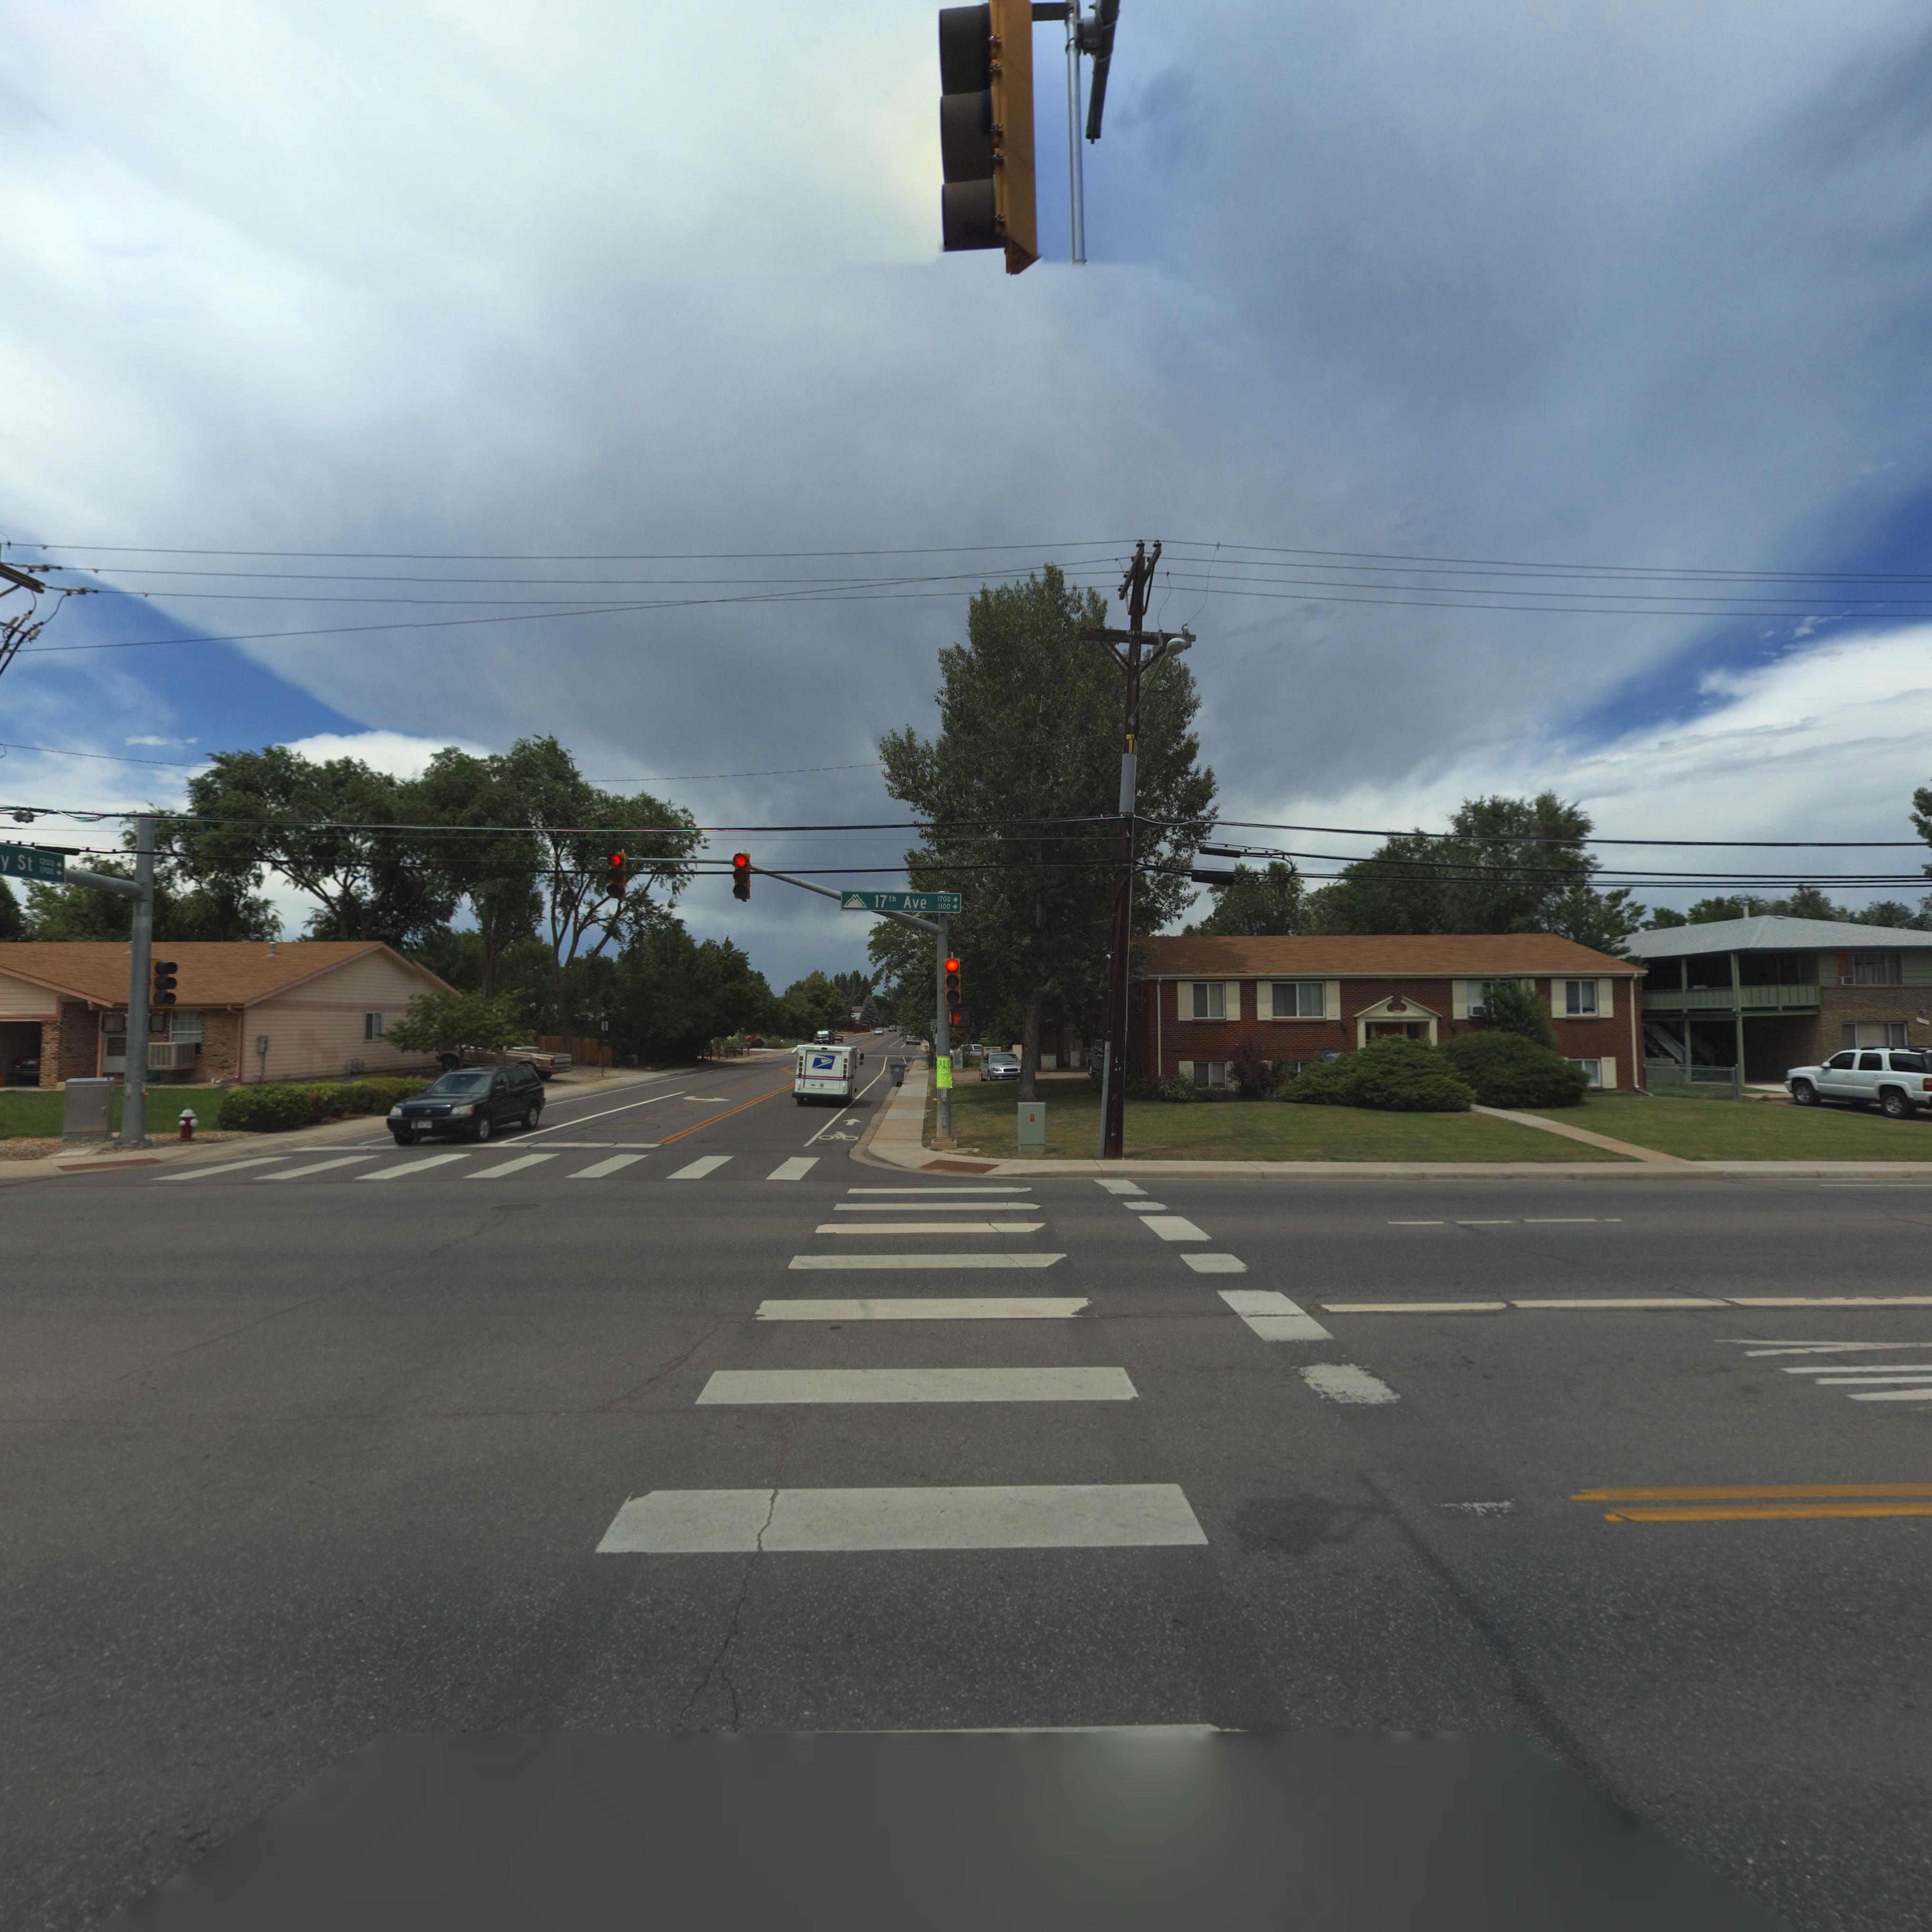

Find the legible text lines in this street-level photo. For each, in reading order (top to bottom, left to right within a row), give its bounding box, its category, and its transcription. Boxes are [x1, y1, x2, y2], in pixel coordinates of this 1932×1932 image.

[0, 853, 34, 873] StreetName: y St
[39, 857, 55, 867] StreetNumberRange: 1200
[39, 865, 64, 876] StreetNumberRange: 1*00->
[874, 894, 927, 909] StreetName: 17th Ave
[937, 896, 951, 902] StreetNumberRange: 1700
[938, 903, 958, 909] StreetNumberRange: 1100->